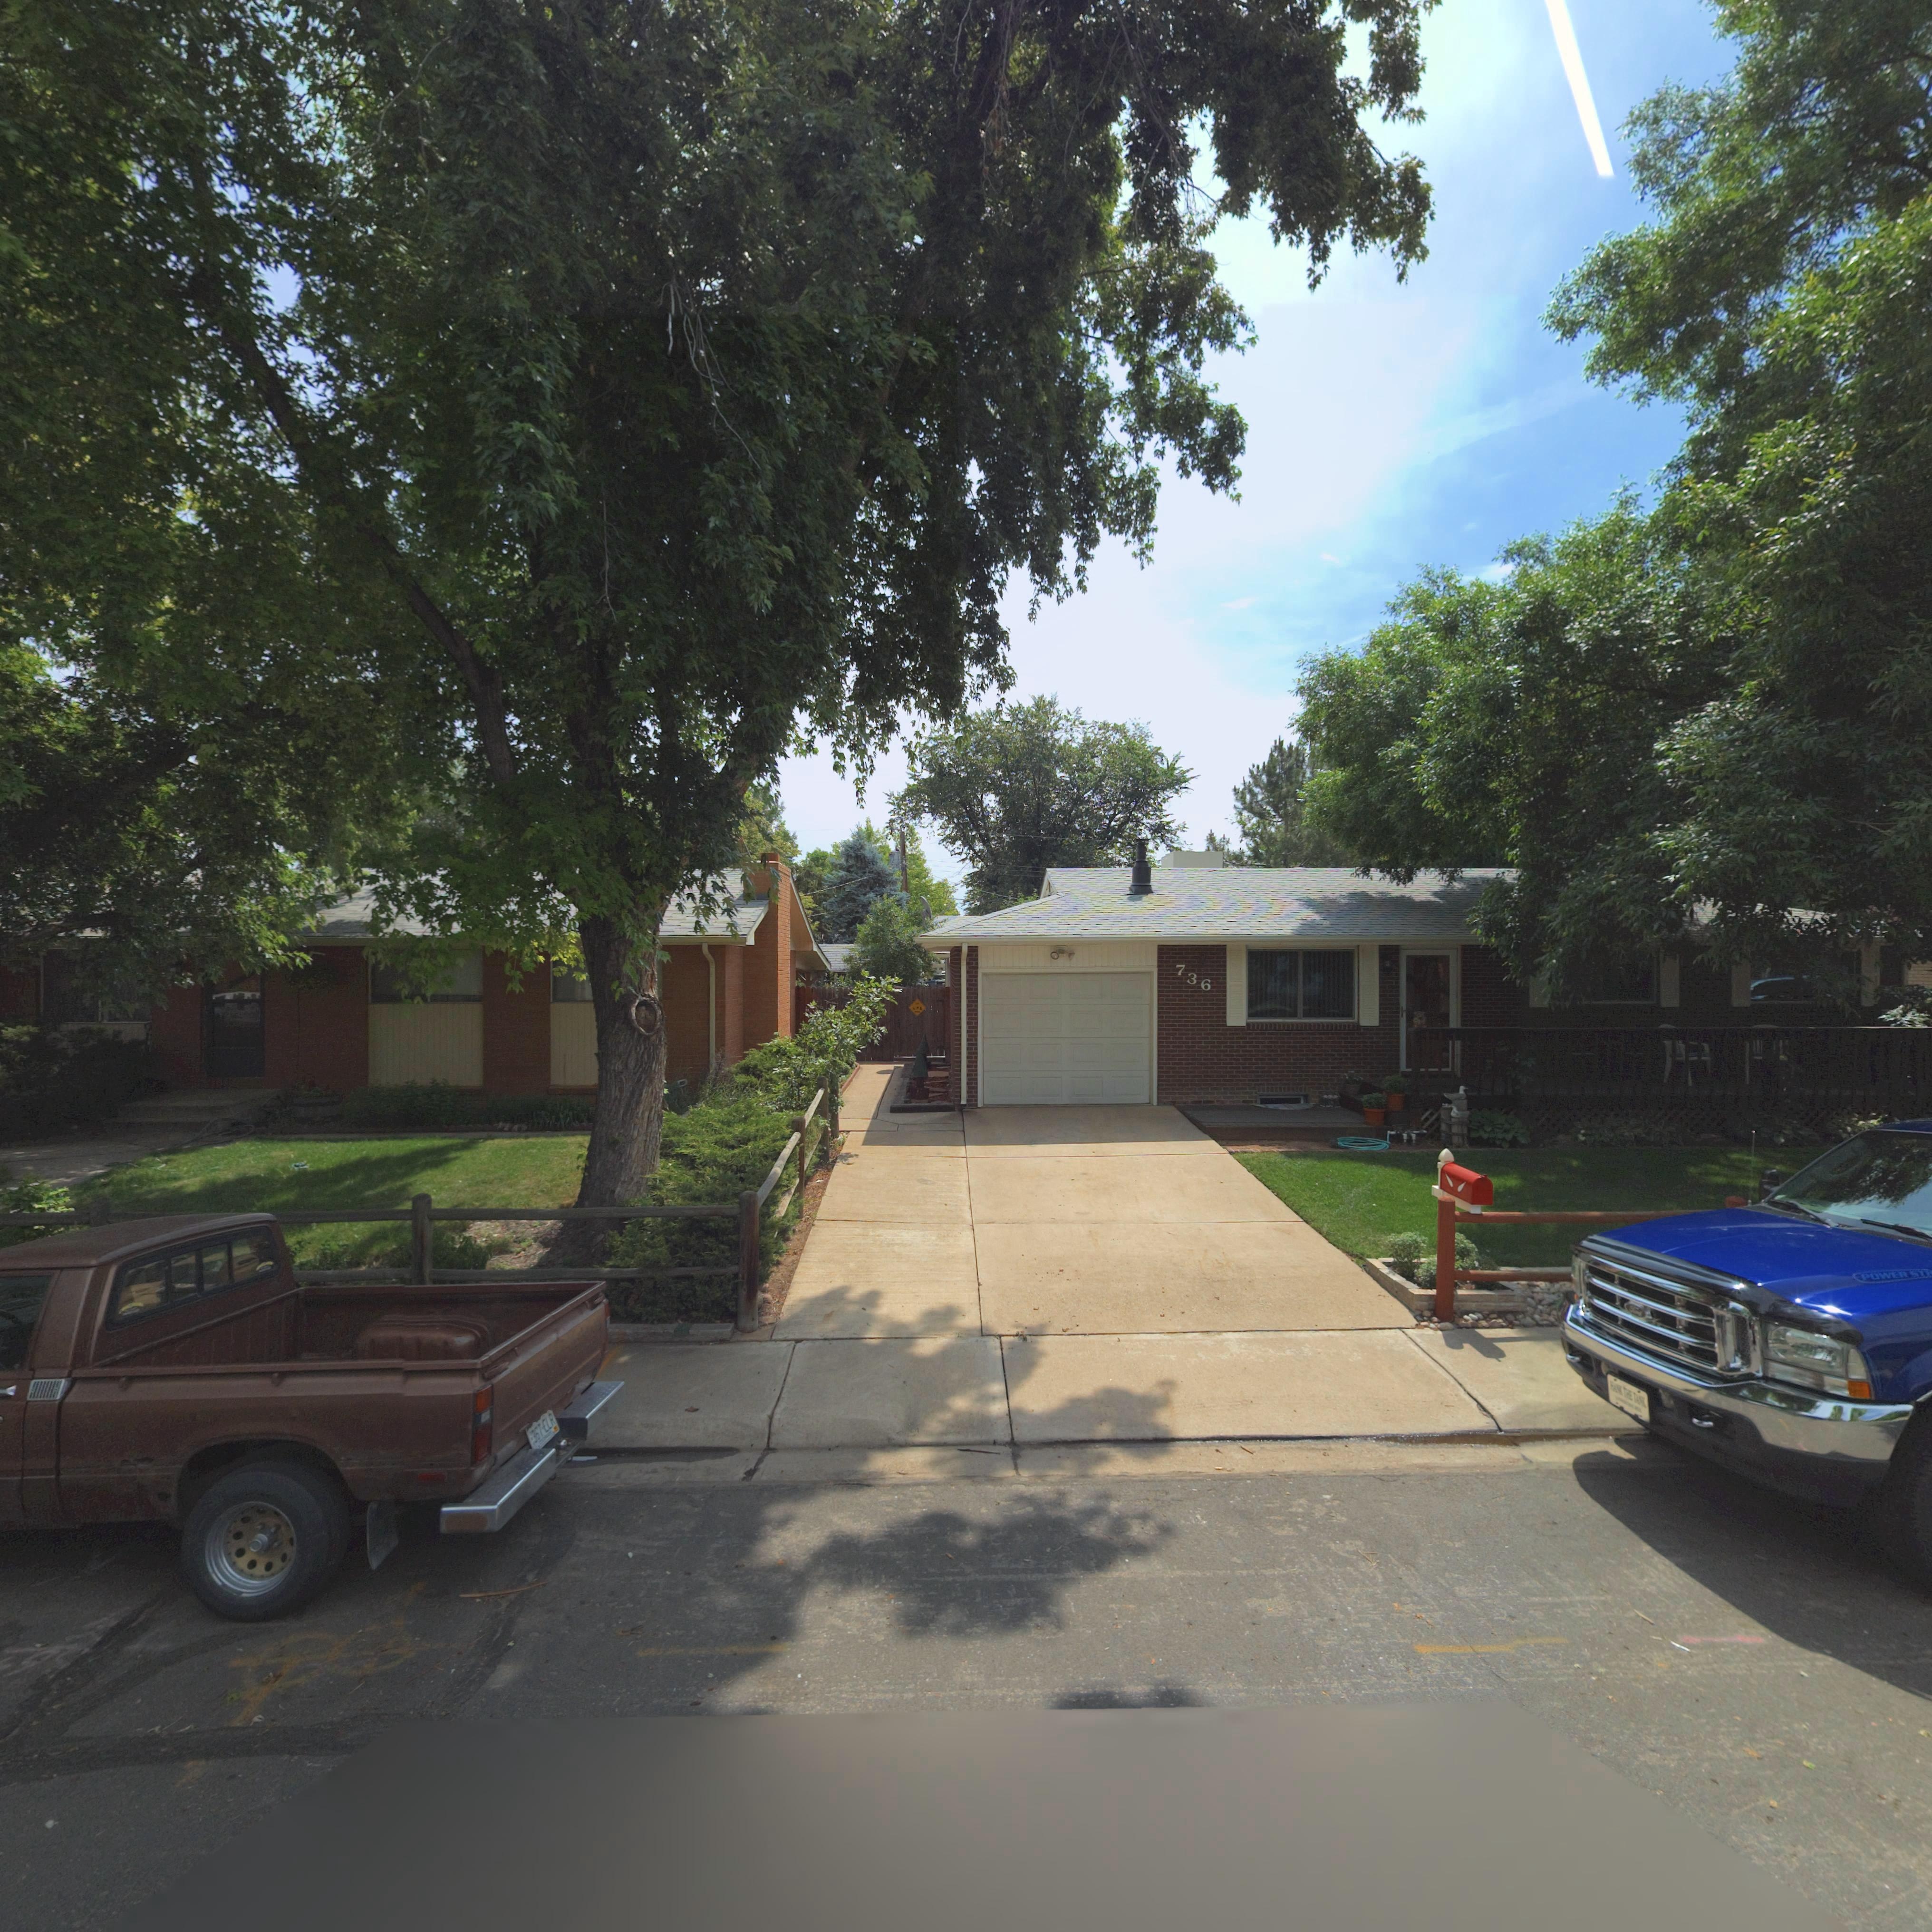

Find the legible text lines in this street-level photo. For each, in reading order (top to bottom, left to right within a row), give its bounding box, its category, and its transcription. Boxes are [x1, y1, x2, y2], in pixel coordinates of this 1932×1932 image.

[1175, 963, 1211, 992] StreetNumber: 736